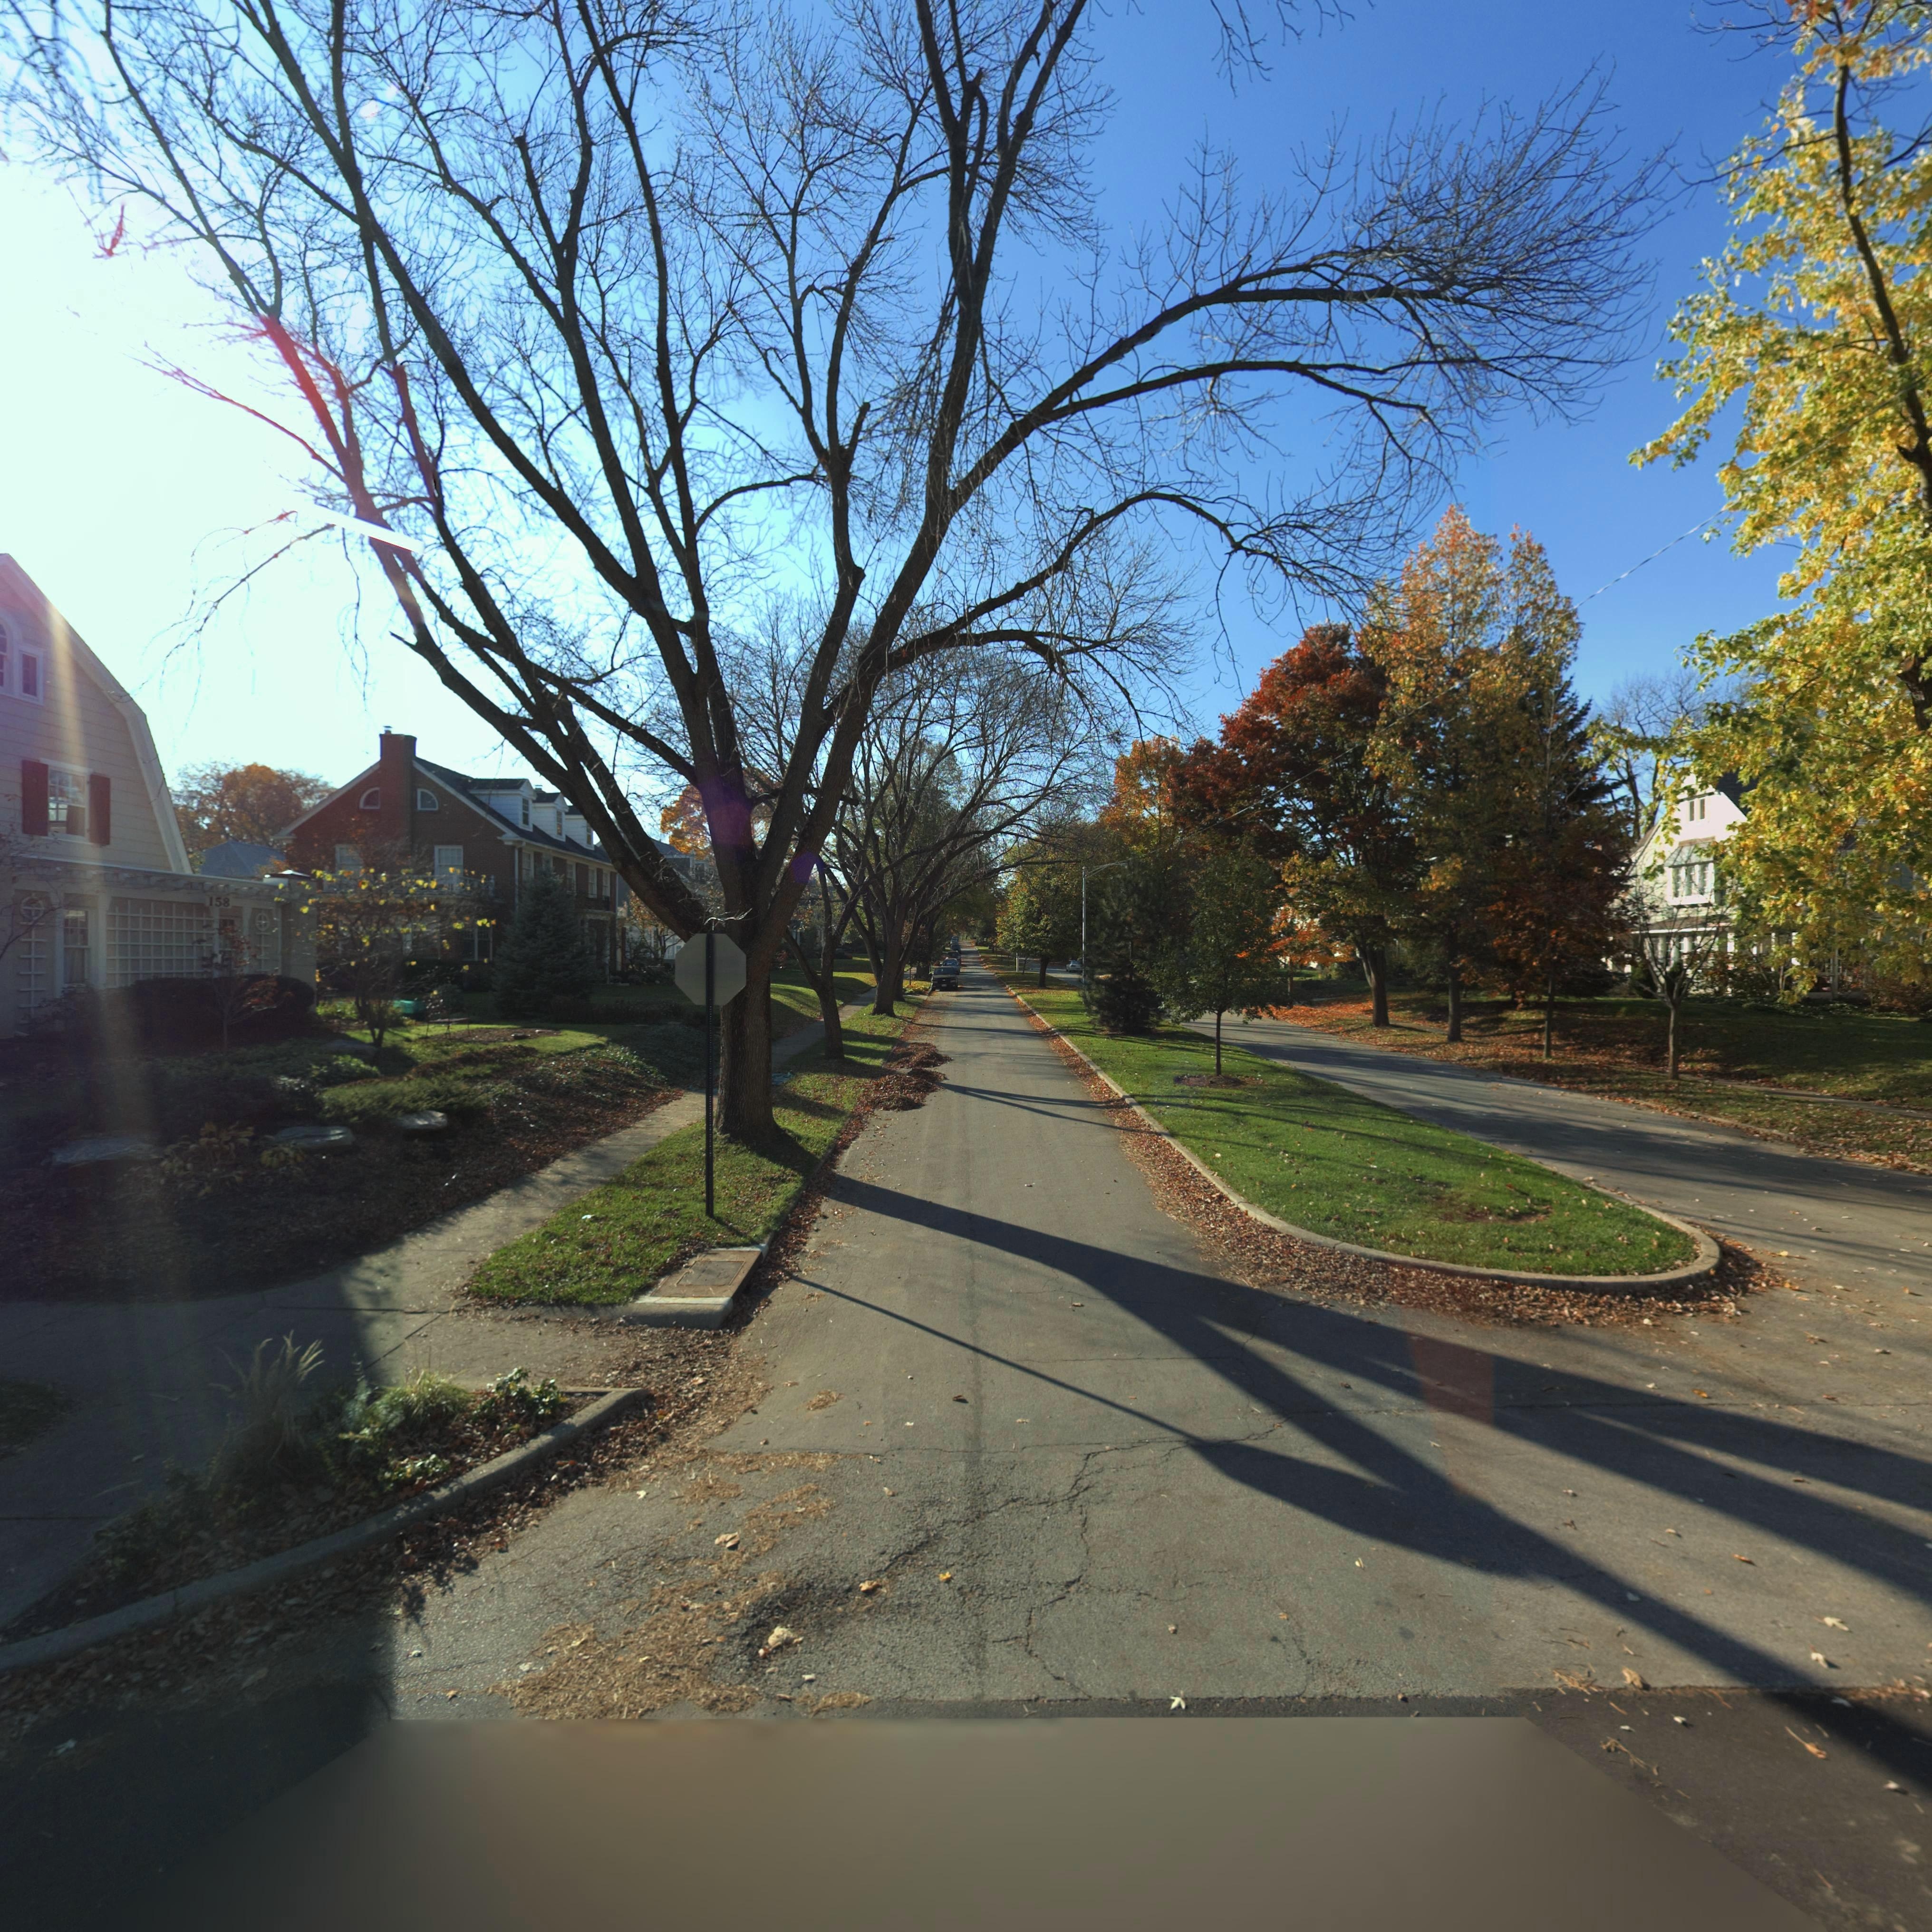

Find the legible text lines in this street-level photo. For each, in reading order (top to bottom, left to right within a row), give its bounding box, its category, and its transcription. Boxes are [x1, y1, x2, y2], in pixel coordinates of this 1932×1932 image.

[207, 895, 232, 908] StreetNumber: 158